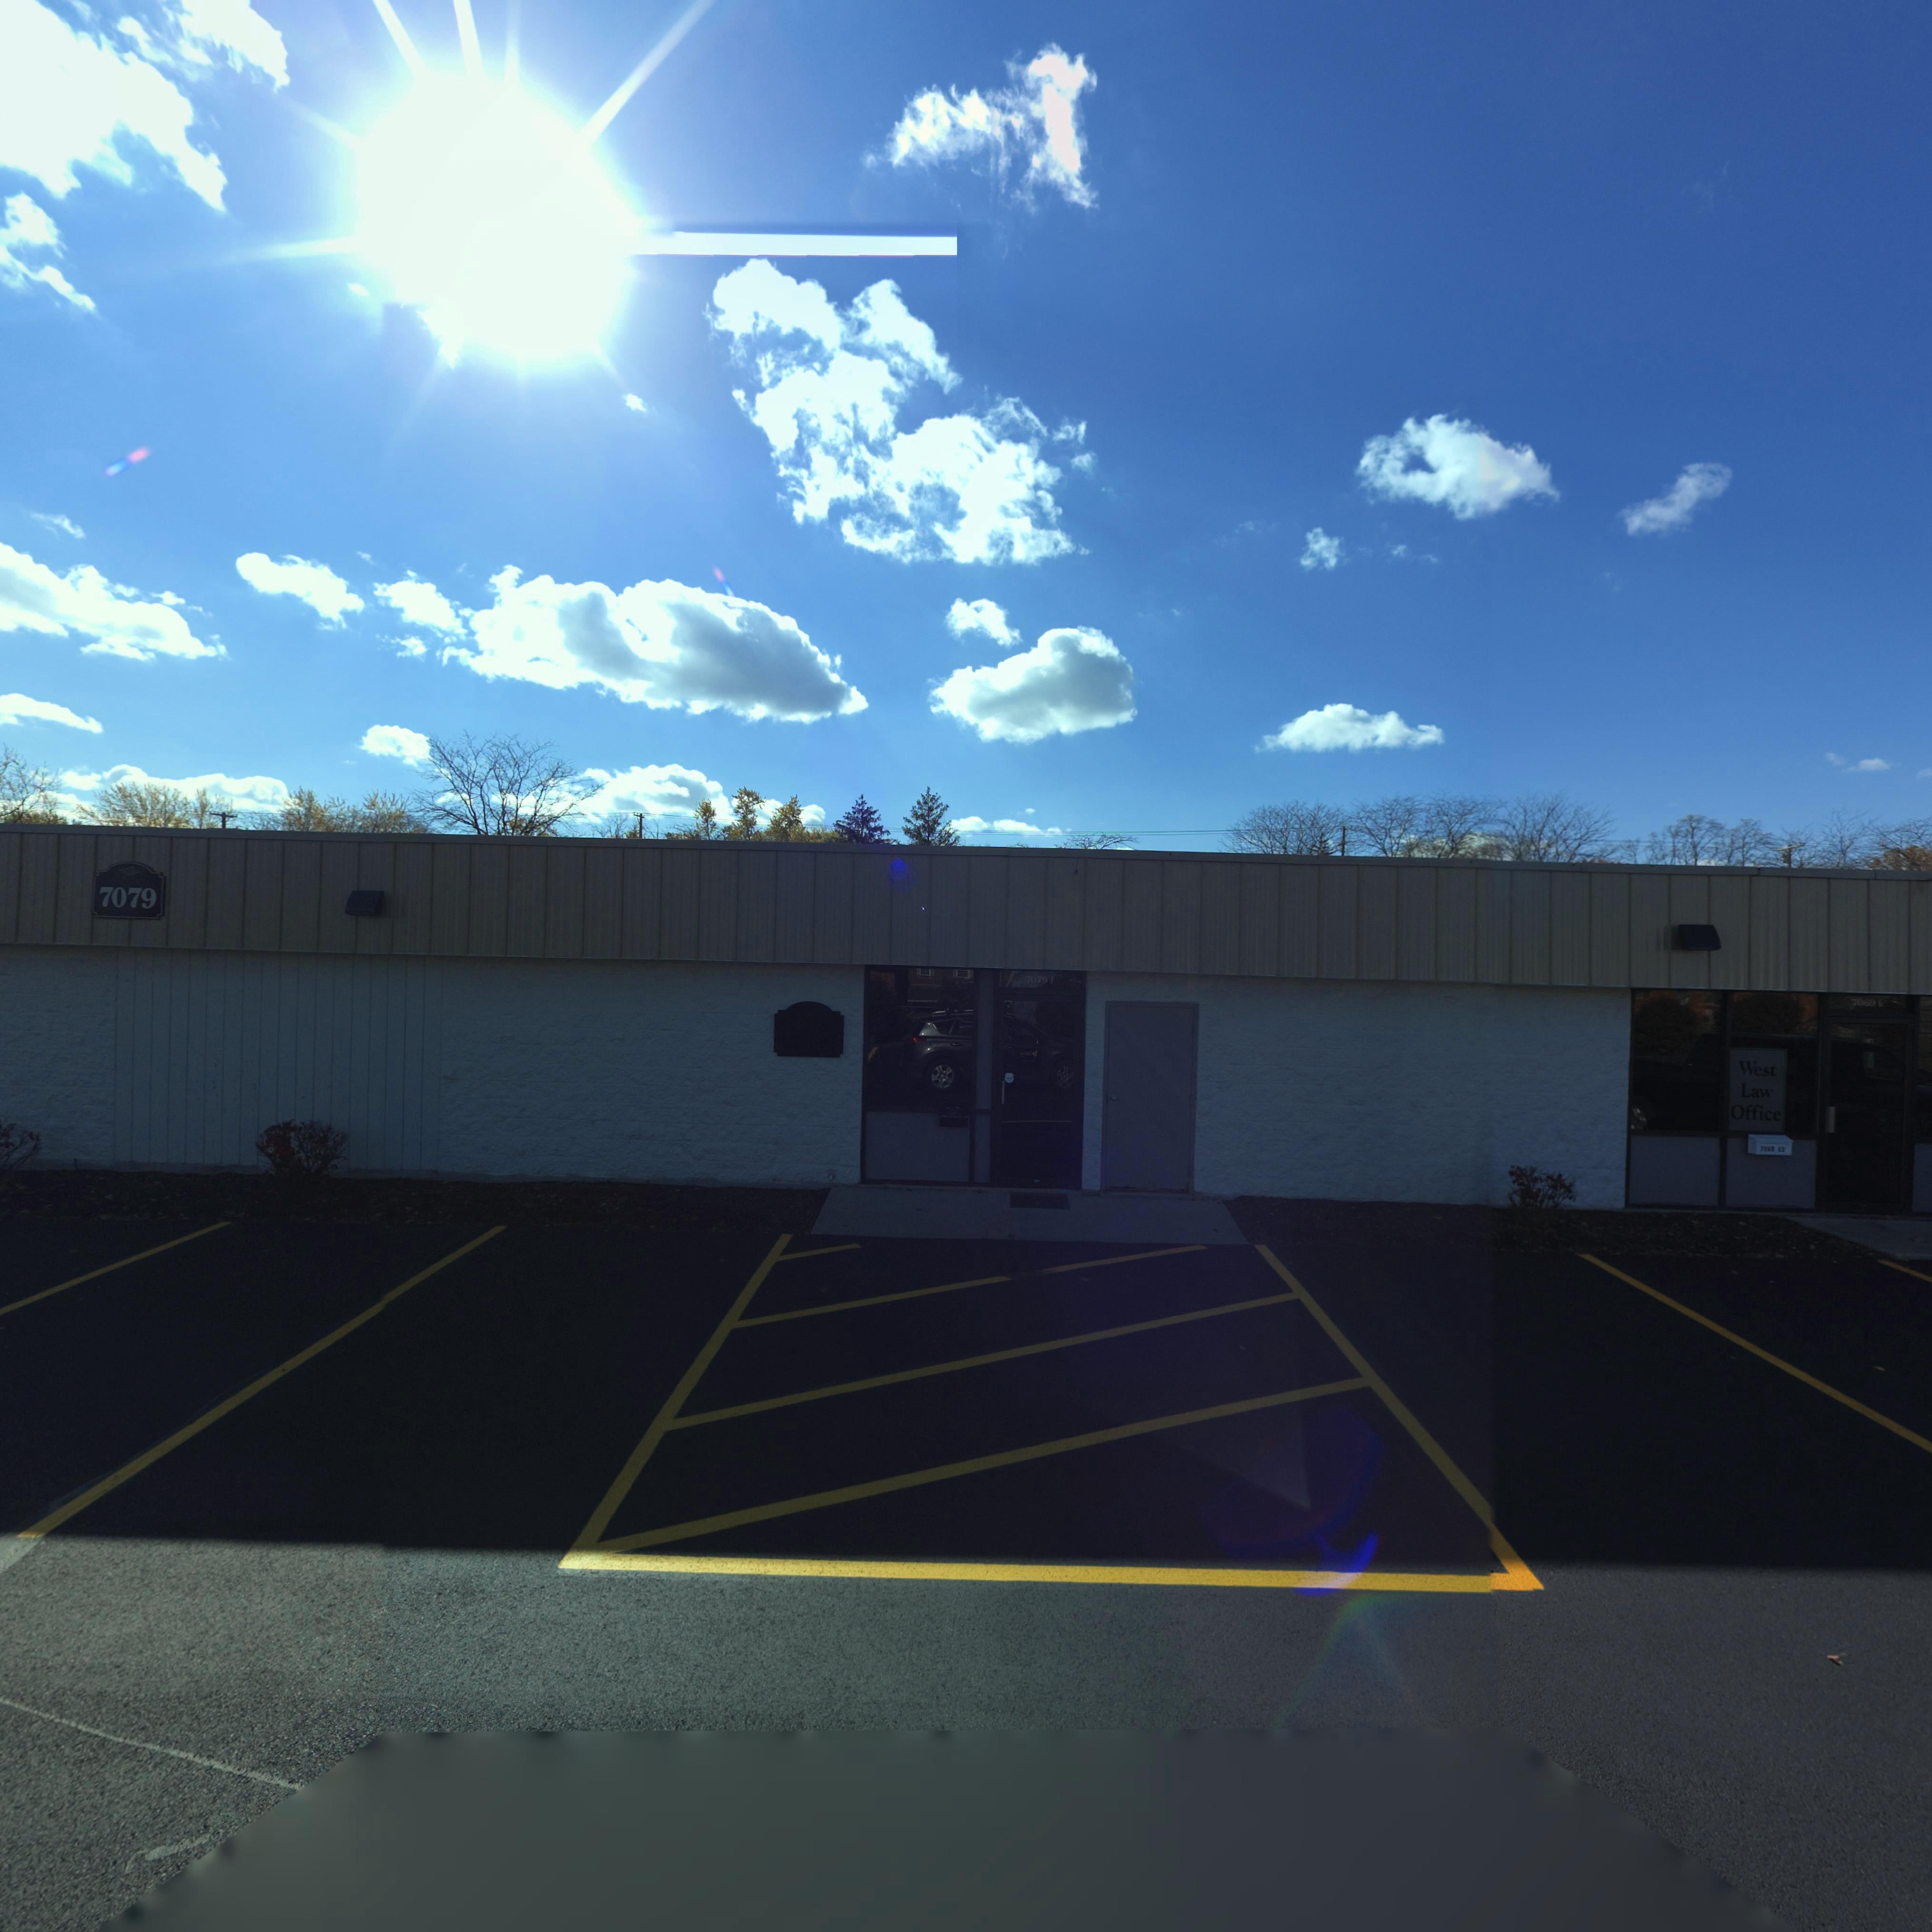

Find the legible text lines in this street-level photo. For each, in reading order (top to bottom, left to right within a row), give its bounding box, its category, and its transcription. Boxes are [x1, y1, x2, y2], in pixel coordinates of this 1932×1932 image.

[98, 885, 159, 910] StreetNumber: 7079
[1024, 975, 1056, 985] StreetNumber: 7079 *
[1848, 997, 1885, 1008] StreetNumber: 7069 *